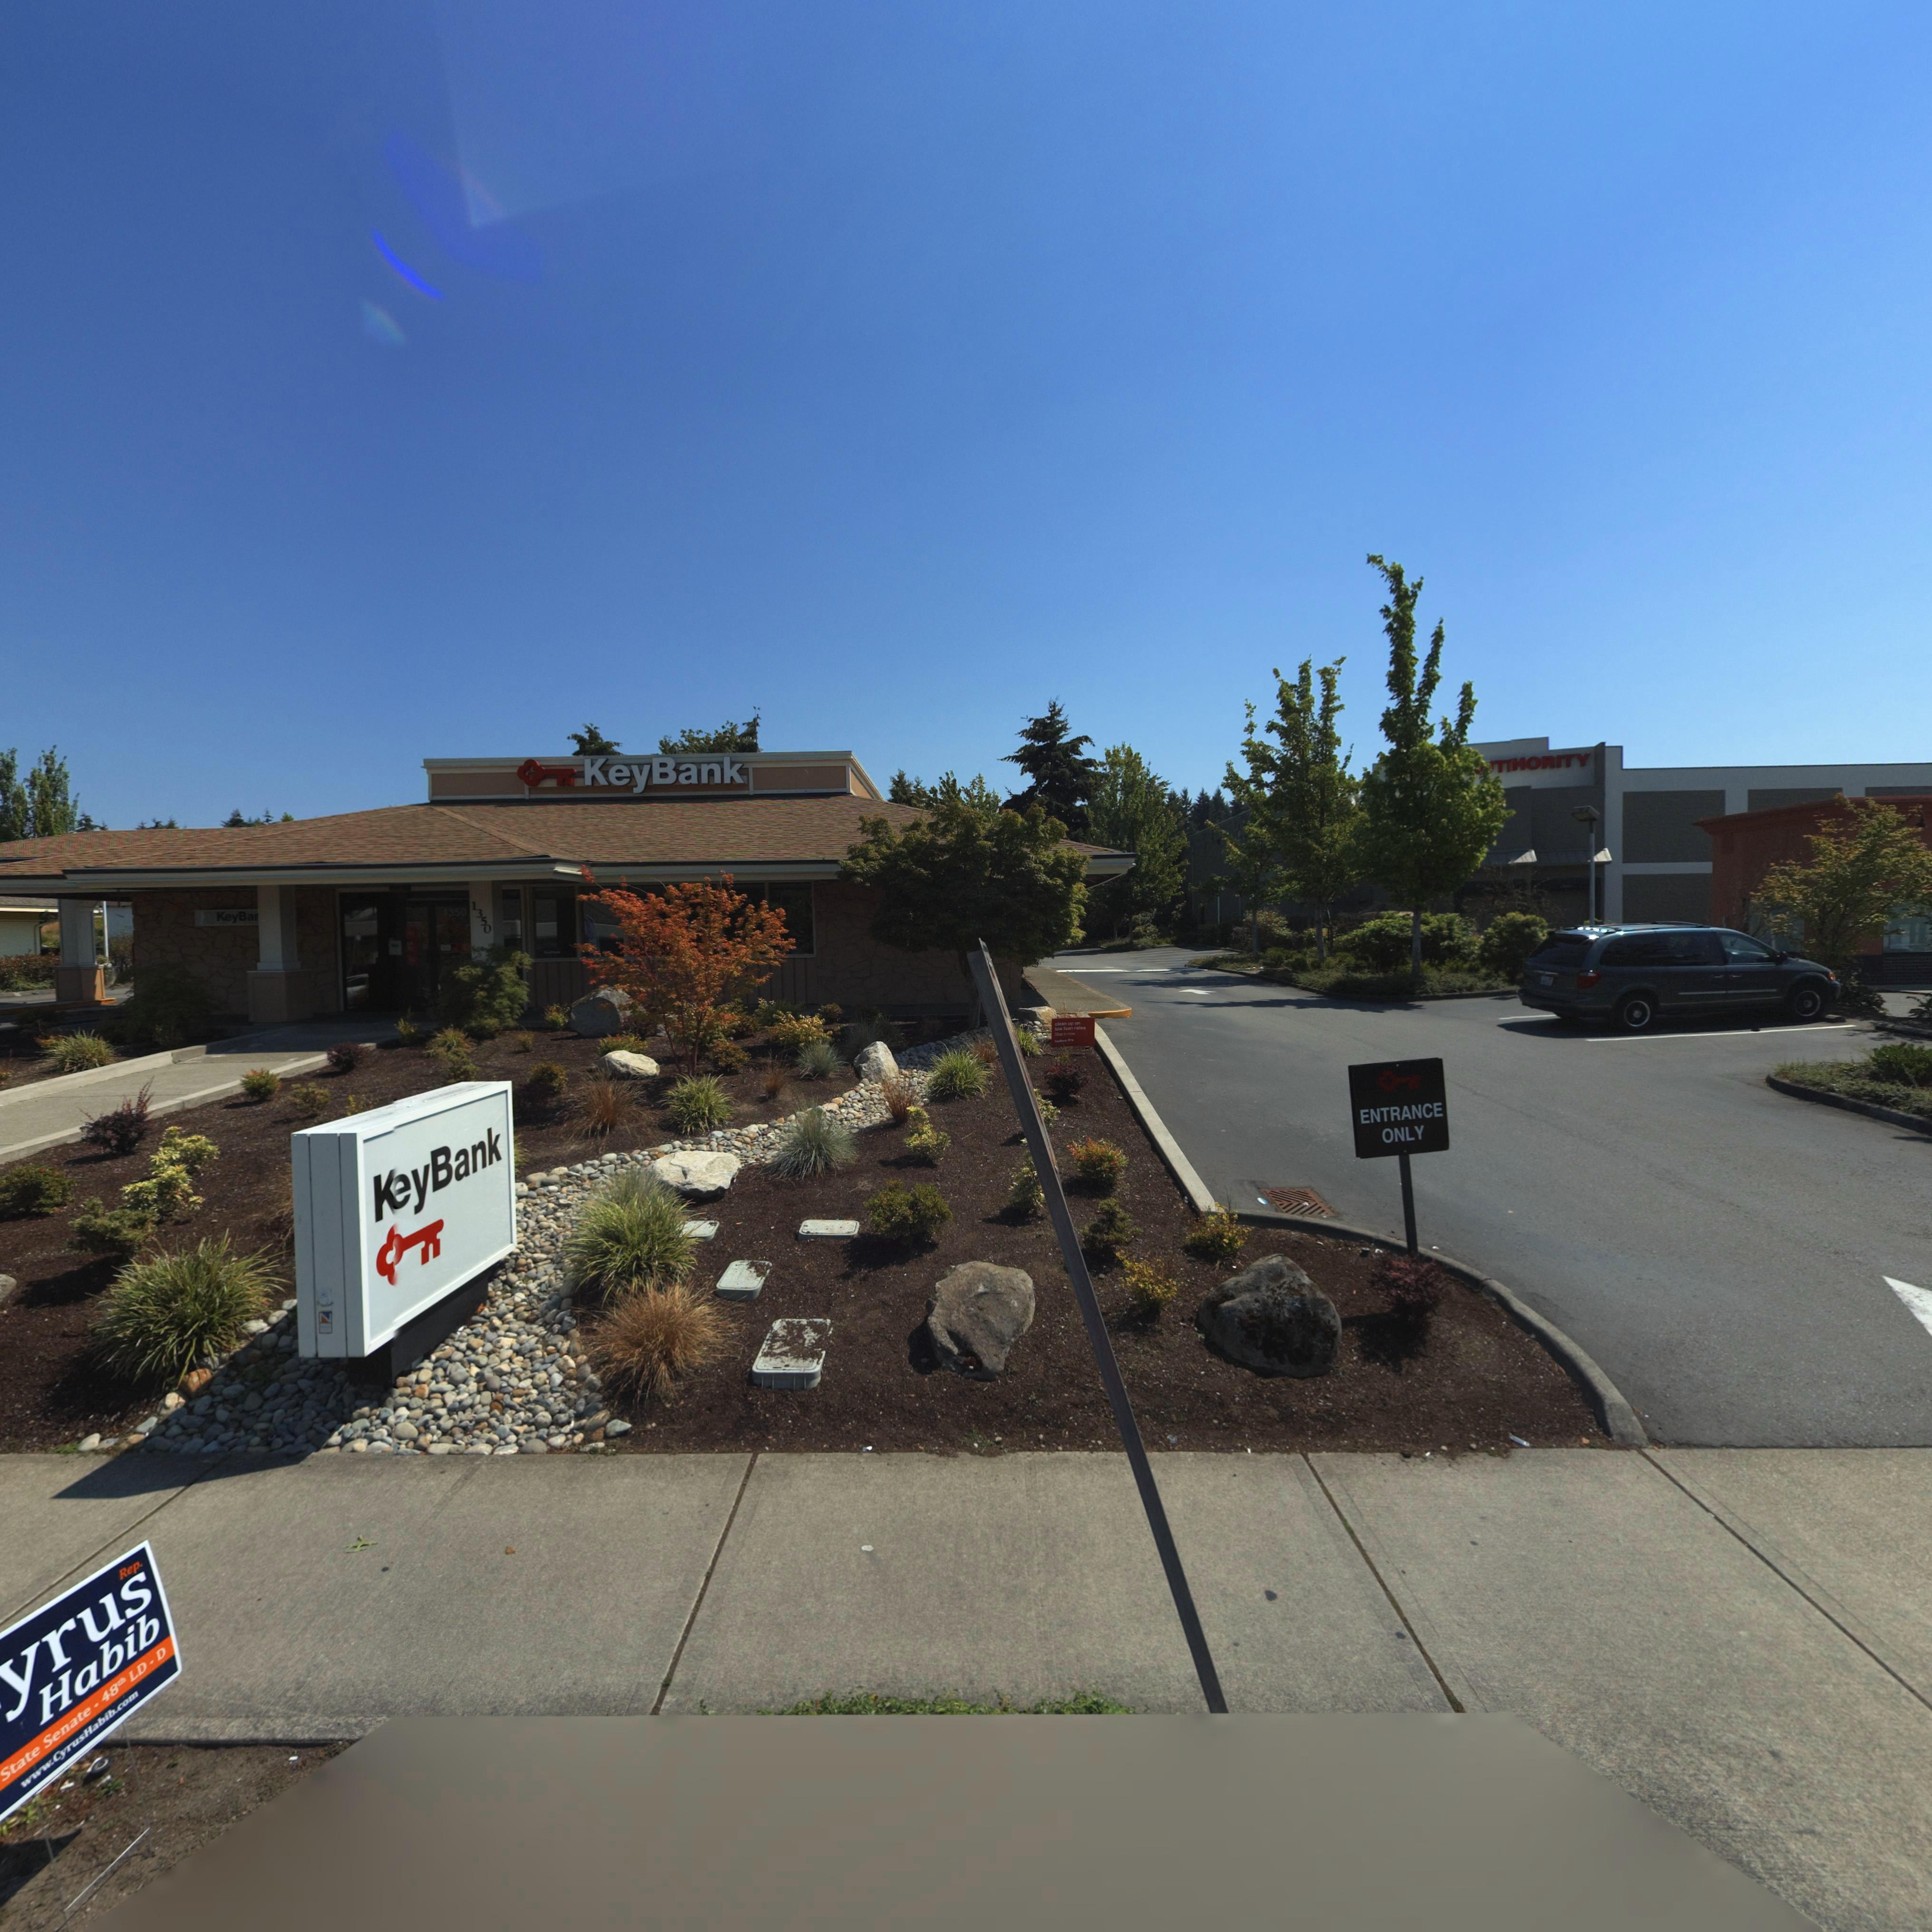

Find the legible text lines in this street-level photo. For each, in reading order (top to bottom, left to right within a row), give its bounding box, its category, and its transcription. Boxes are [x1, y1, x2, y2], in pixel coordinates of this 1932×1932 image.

[584, 754, 747, 795] StreetNumber: KeyBank
[469, 899, 493, 939] StreetNumber: 1350
[370, 1121, 506, 1224] BusinessName: KeyBank